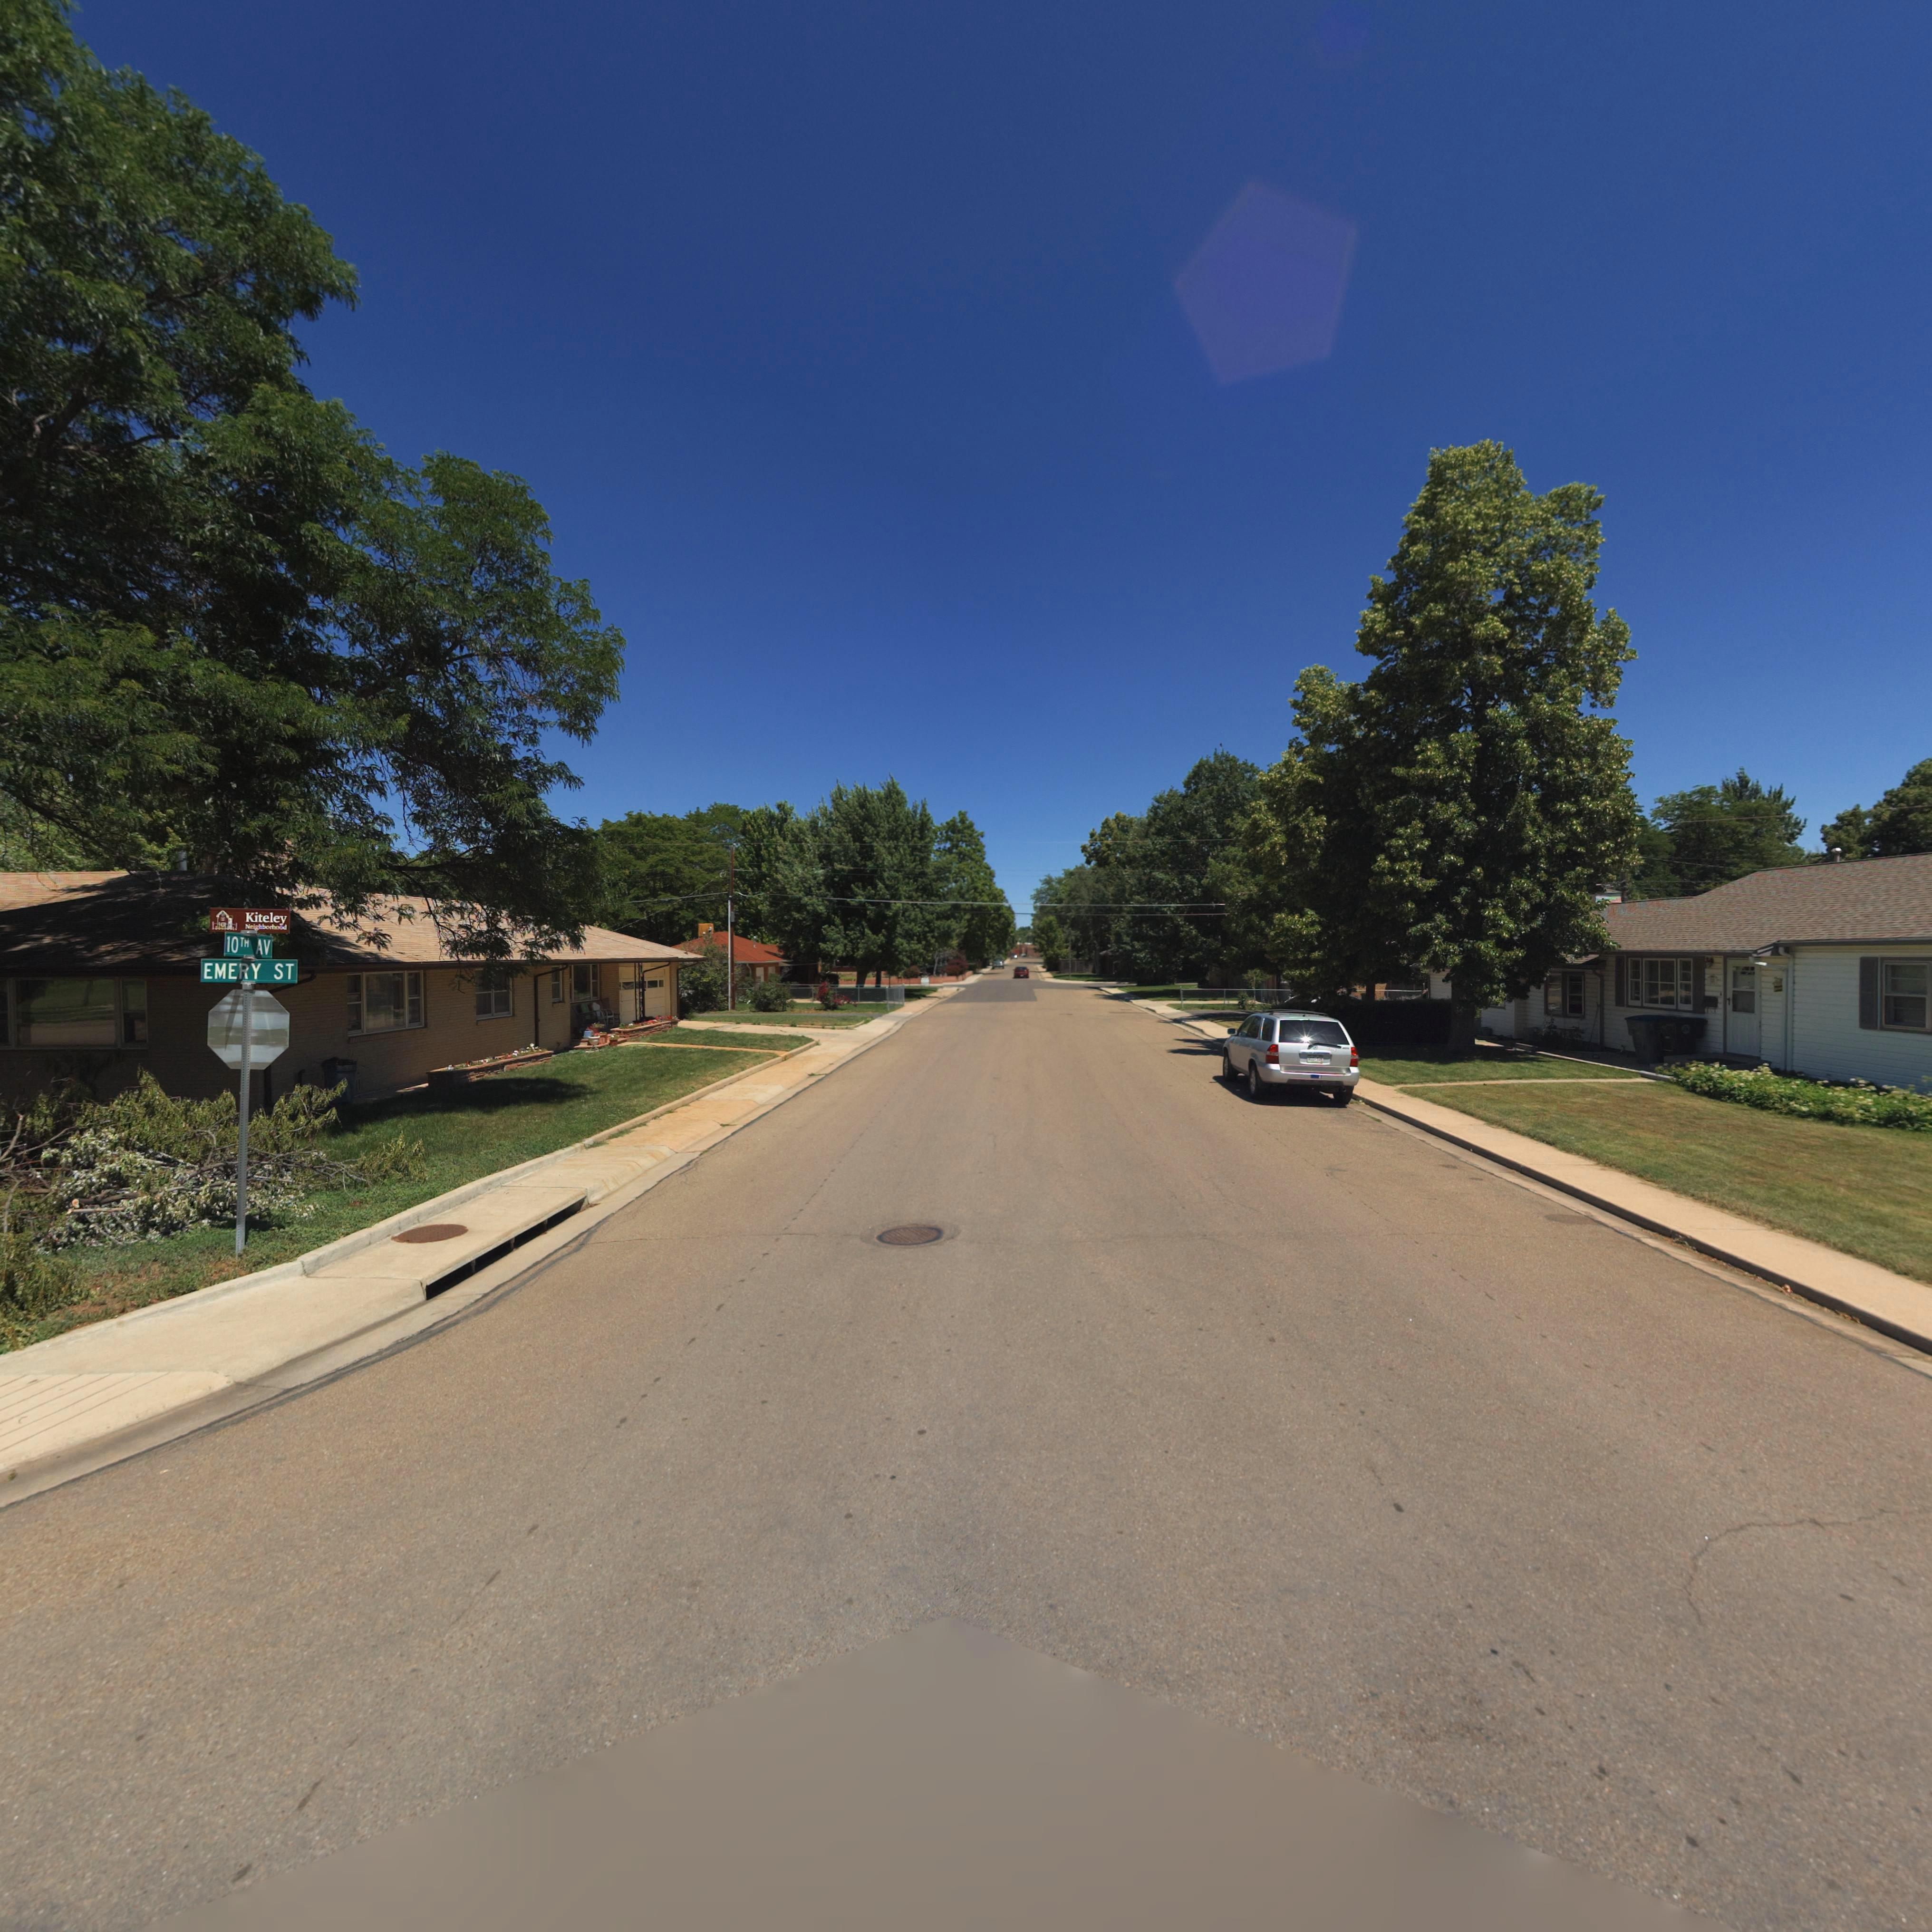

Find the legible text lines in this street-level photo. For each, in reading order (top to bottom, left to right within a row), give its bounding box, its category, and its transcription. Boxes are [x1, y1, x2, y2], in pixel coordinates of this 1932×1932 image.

[227, 935, 271, 956] StreetName: 10TH AV
[203, 963, 294, 980] StreetName: EMERY ST
[1709, 978, 1714, 984] StreetNumber: 5**